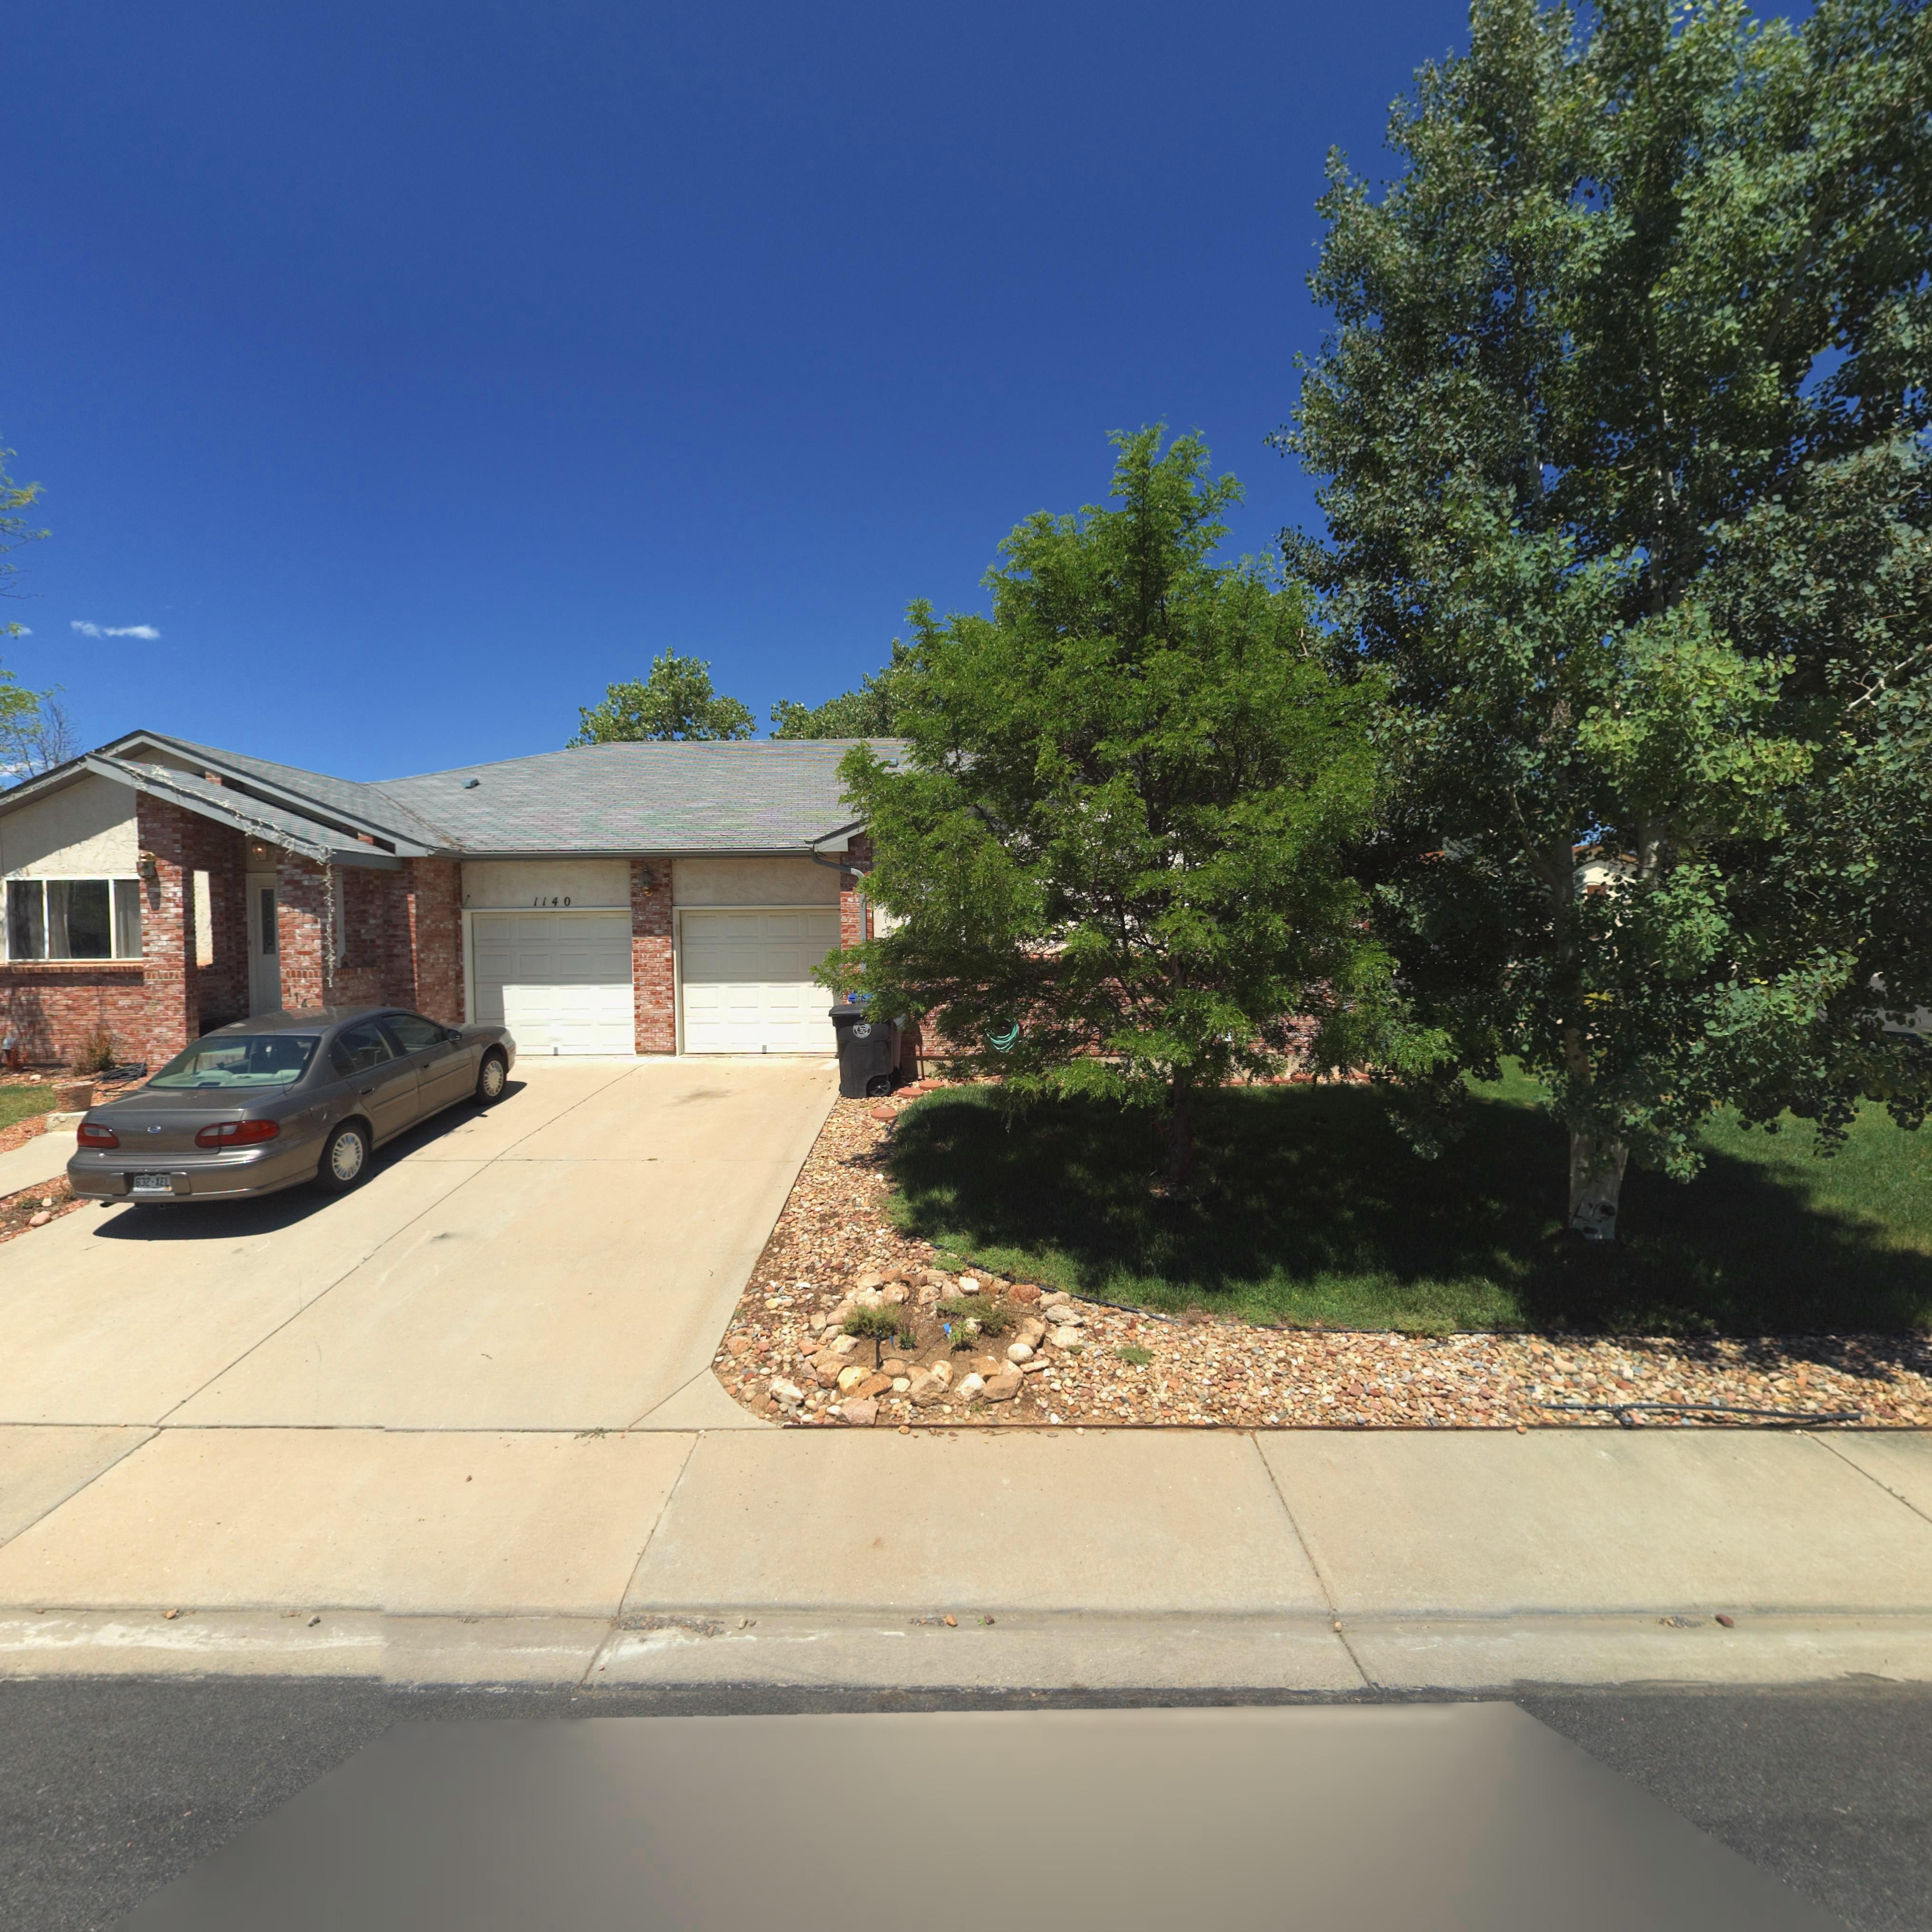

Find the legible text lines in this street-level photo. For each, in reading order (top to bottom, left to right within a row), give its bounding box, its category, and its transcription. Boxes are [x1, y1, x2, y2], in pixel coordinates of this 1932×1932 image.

[533, 897, 571, 907] StreetNumber: 1140